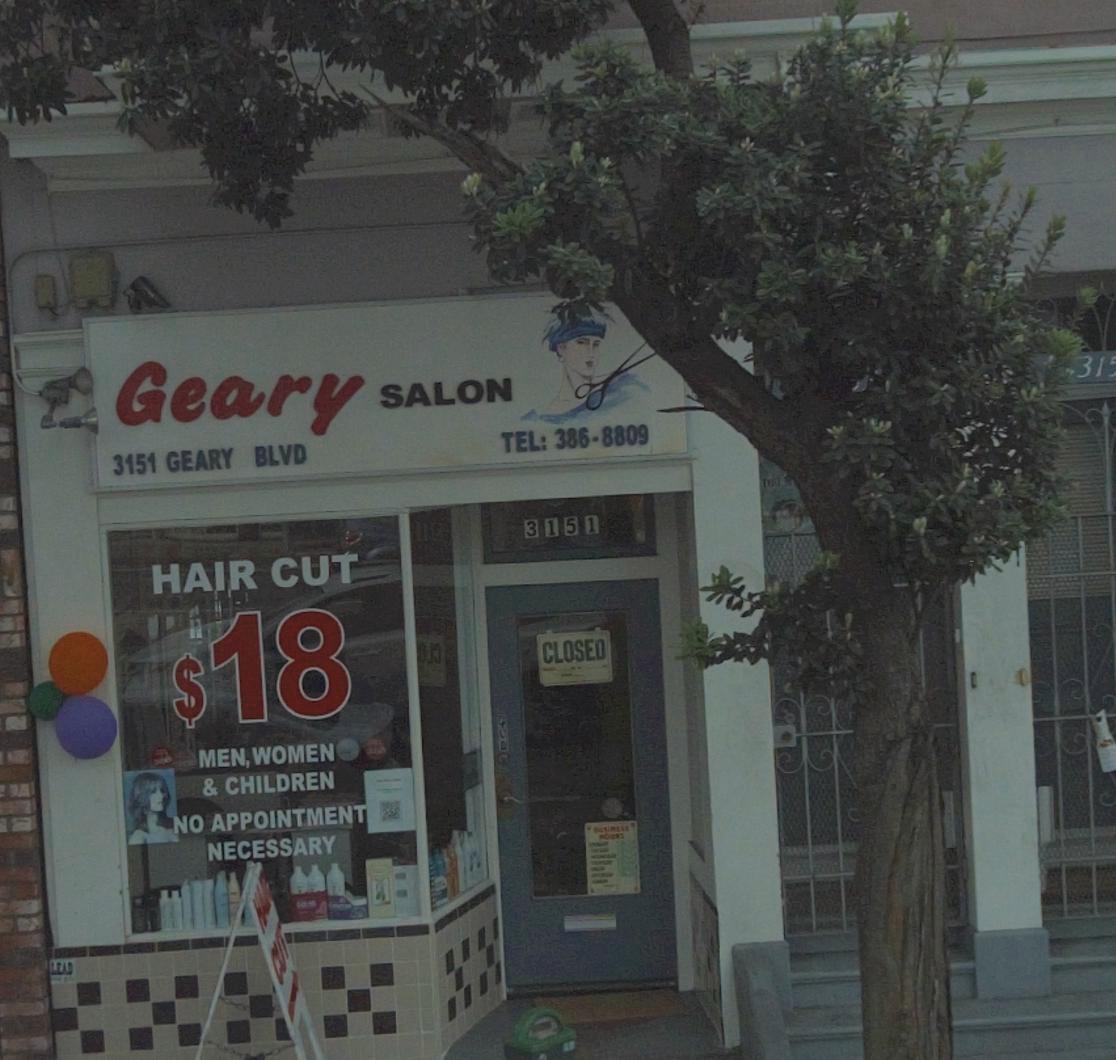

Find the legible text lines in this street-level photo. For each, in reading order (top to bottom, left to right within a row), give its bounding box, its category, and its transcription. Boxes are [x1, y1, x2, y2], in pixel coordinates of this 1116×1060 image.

[1074, 352, 1107, 380] StreetNumber: 31
[114, 359, 515, 438] BusinessName: Geary SALON
[499, 422, 652, 455] None: TEL: 386-8809
[111, 451, 158, 477] StreetNumber: 3151
[164, 442, 310, 475] StreetName: GEARY BLVD
[525, 515, 598, 538] StreetNumber: 3151
[151, 552, 360, 595] None: HAIR CUT
[210, 605, 353, 724] None: 18
[541, 636, 609, 667] None: CLOSED
[197, 741, 337, 769] None: MEN, WOMEN
[223, 769, 337, 797] None: CHILDREN
[171, 804, 371, 835] None: NO APPOINTMENT
[206, 833, 340, 863] None: NECESSARY